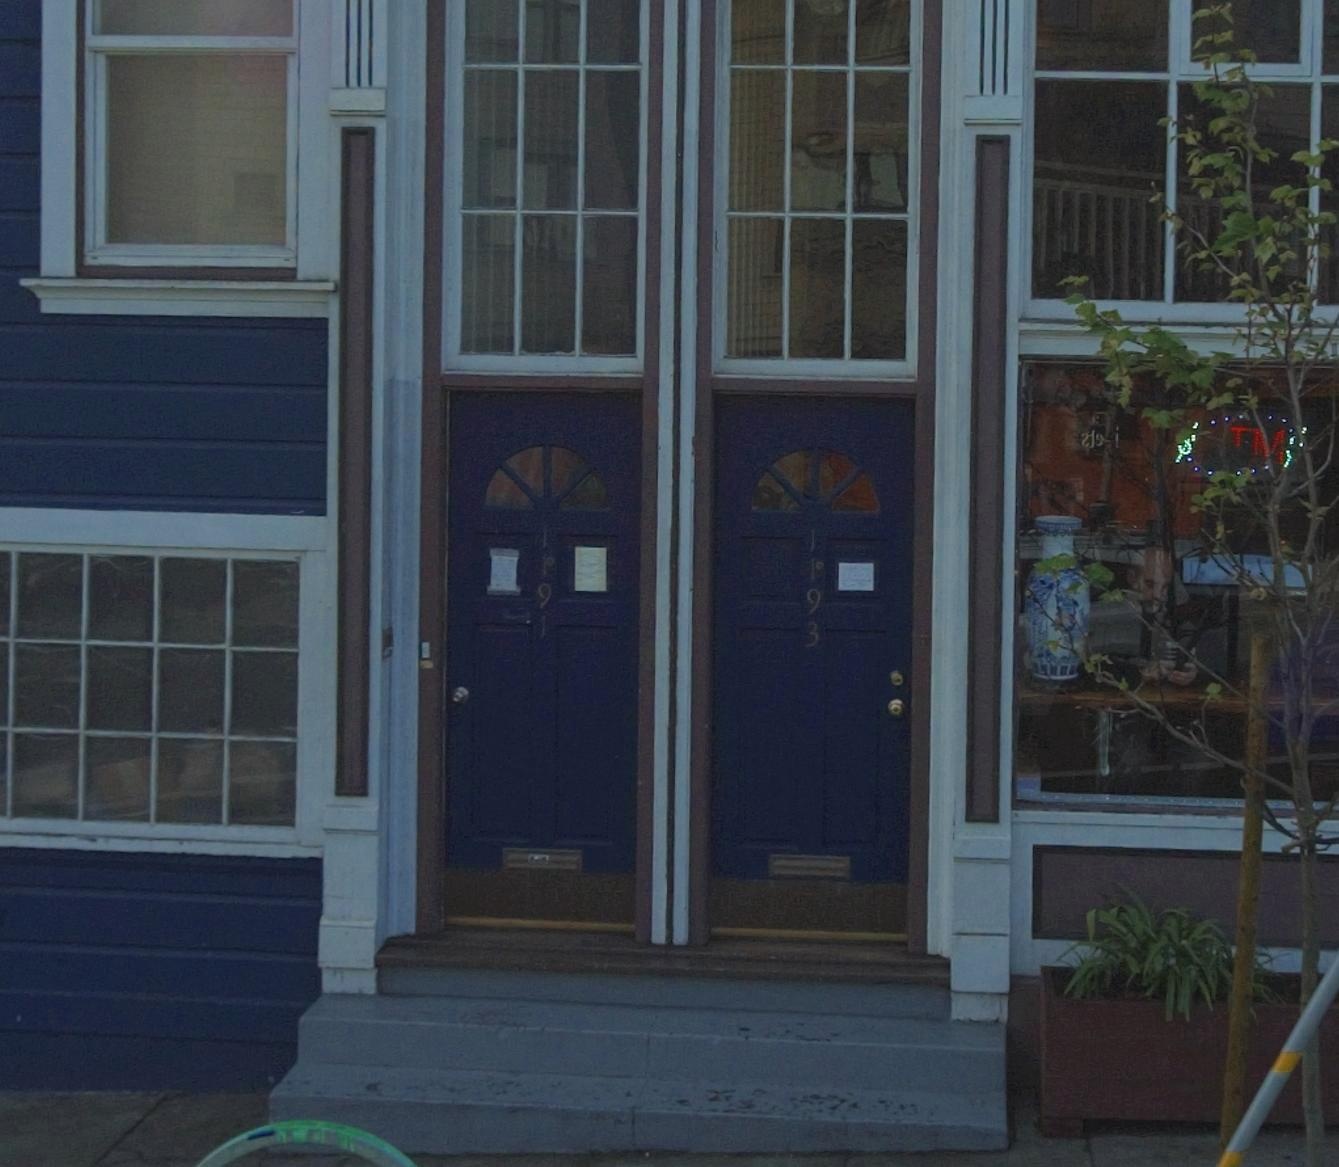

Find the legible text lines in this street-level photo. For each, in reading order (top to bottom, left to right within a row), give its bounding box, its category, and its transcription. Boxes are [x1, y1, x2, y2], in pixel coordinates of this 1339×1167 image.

[534, 522, 556, 641] StreetNumber: 1191
[802, 525, 823, 650] StreetNumber: 1193